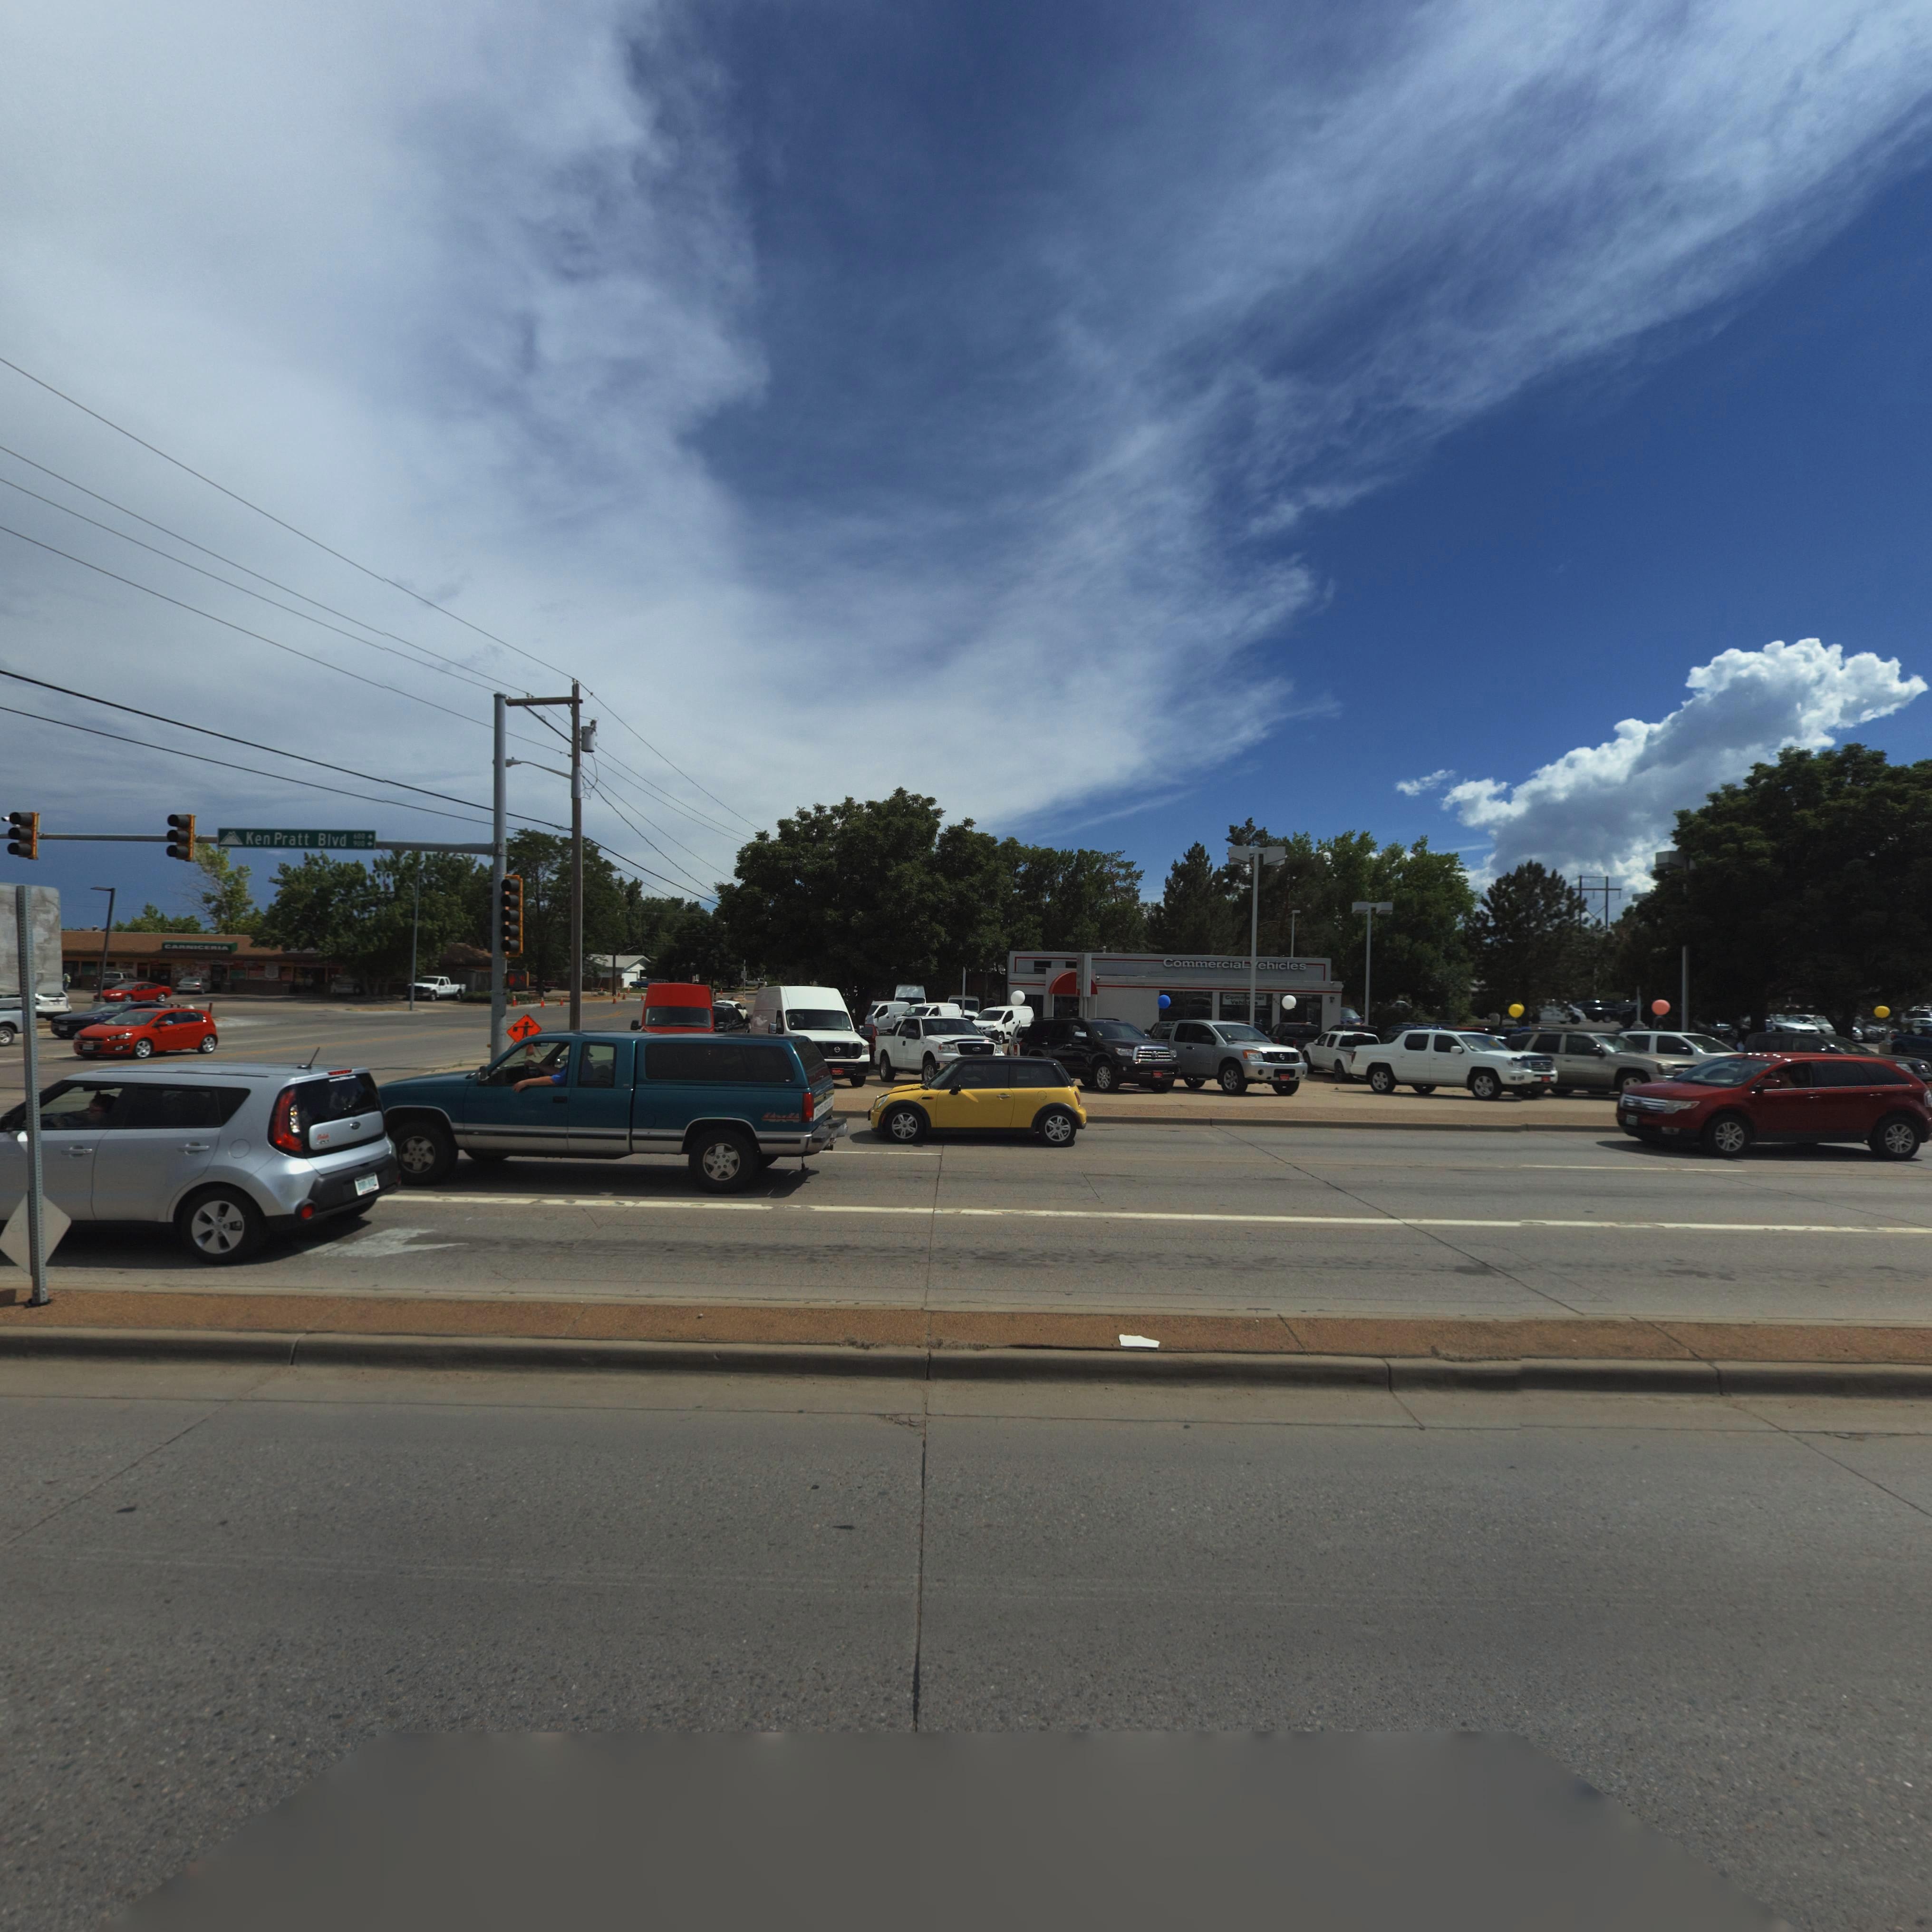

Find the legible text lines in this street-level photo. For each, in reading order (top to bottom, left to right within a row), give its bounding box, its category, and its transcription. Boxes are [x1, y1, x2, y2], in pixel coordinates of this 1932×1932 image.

[245, 831, 347, 847] StreetName: Ken Pratt Blvd
[353, 832, 366, 840] StreetNumberRange: 600
[353, 840, 373, 847] StreetNumberRange: 900 ->